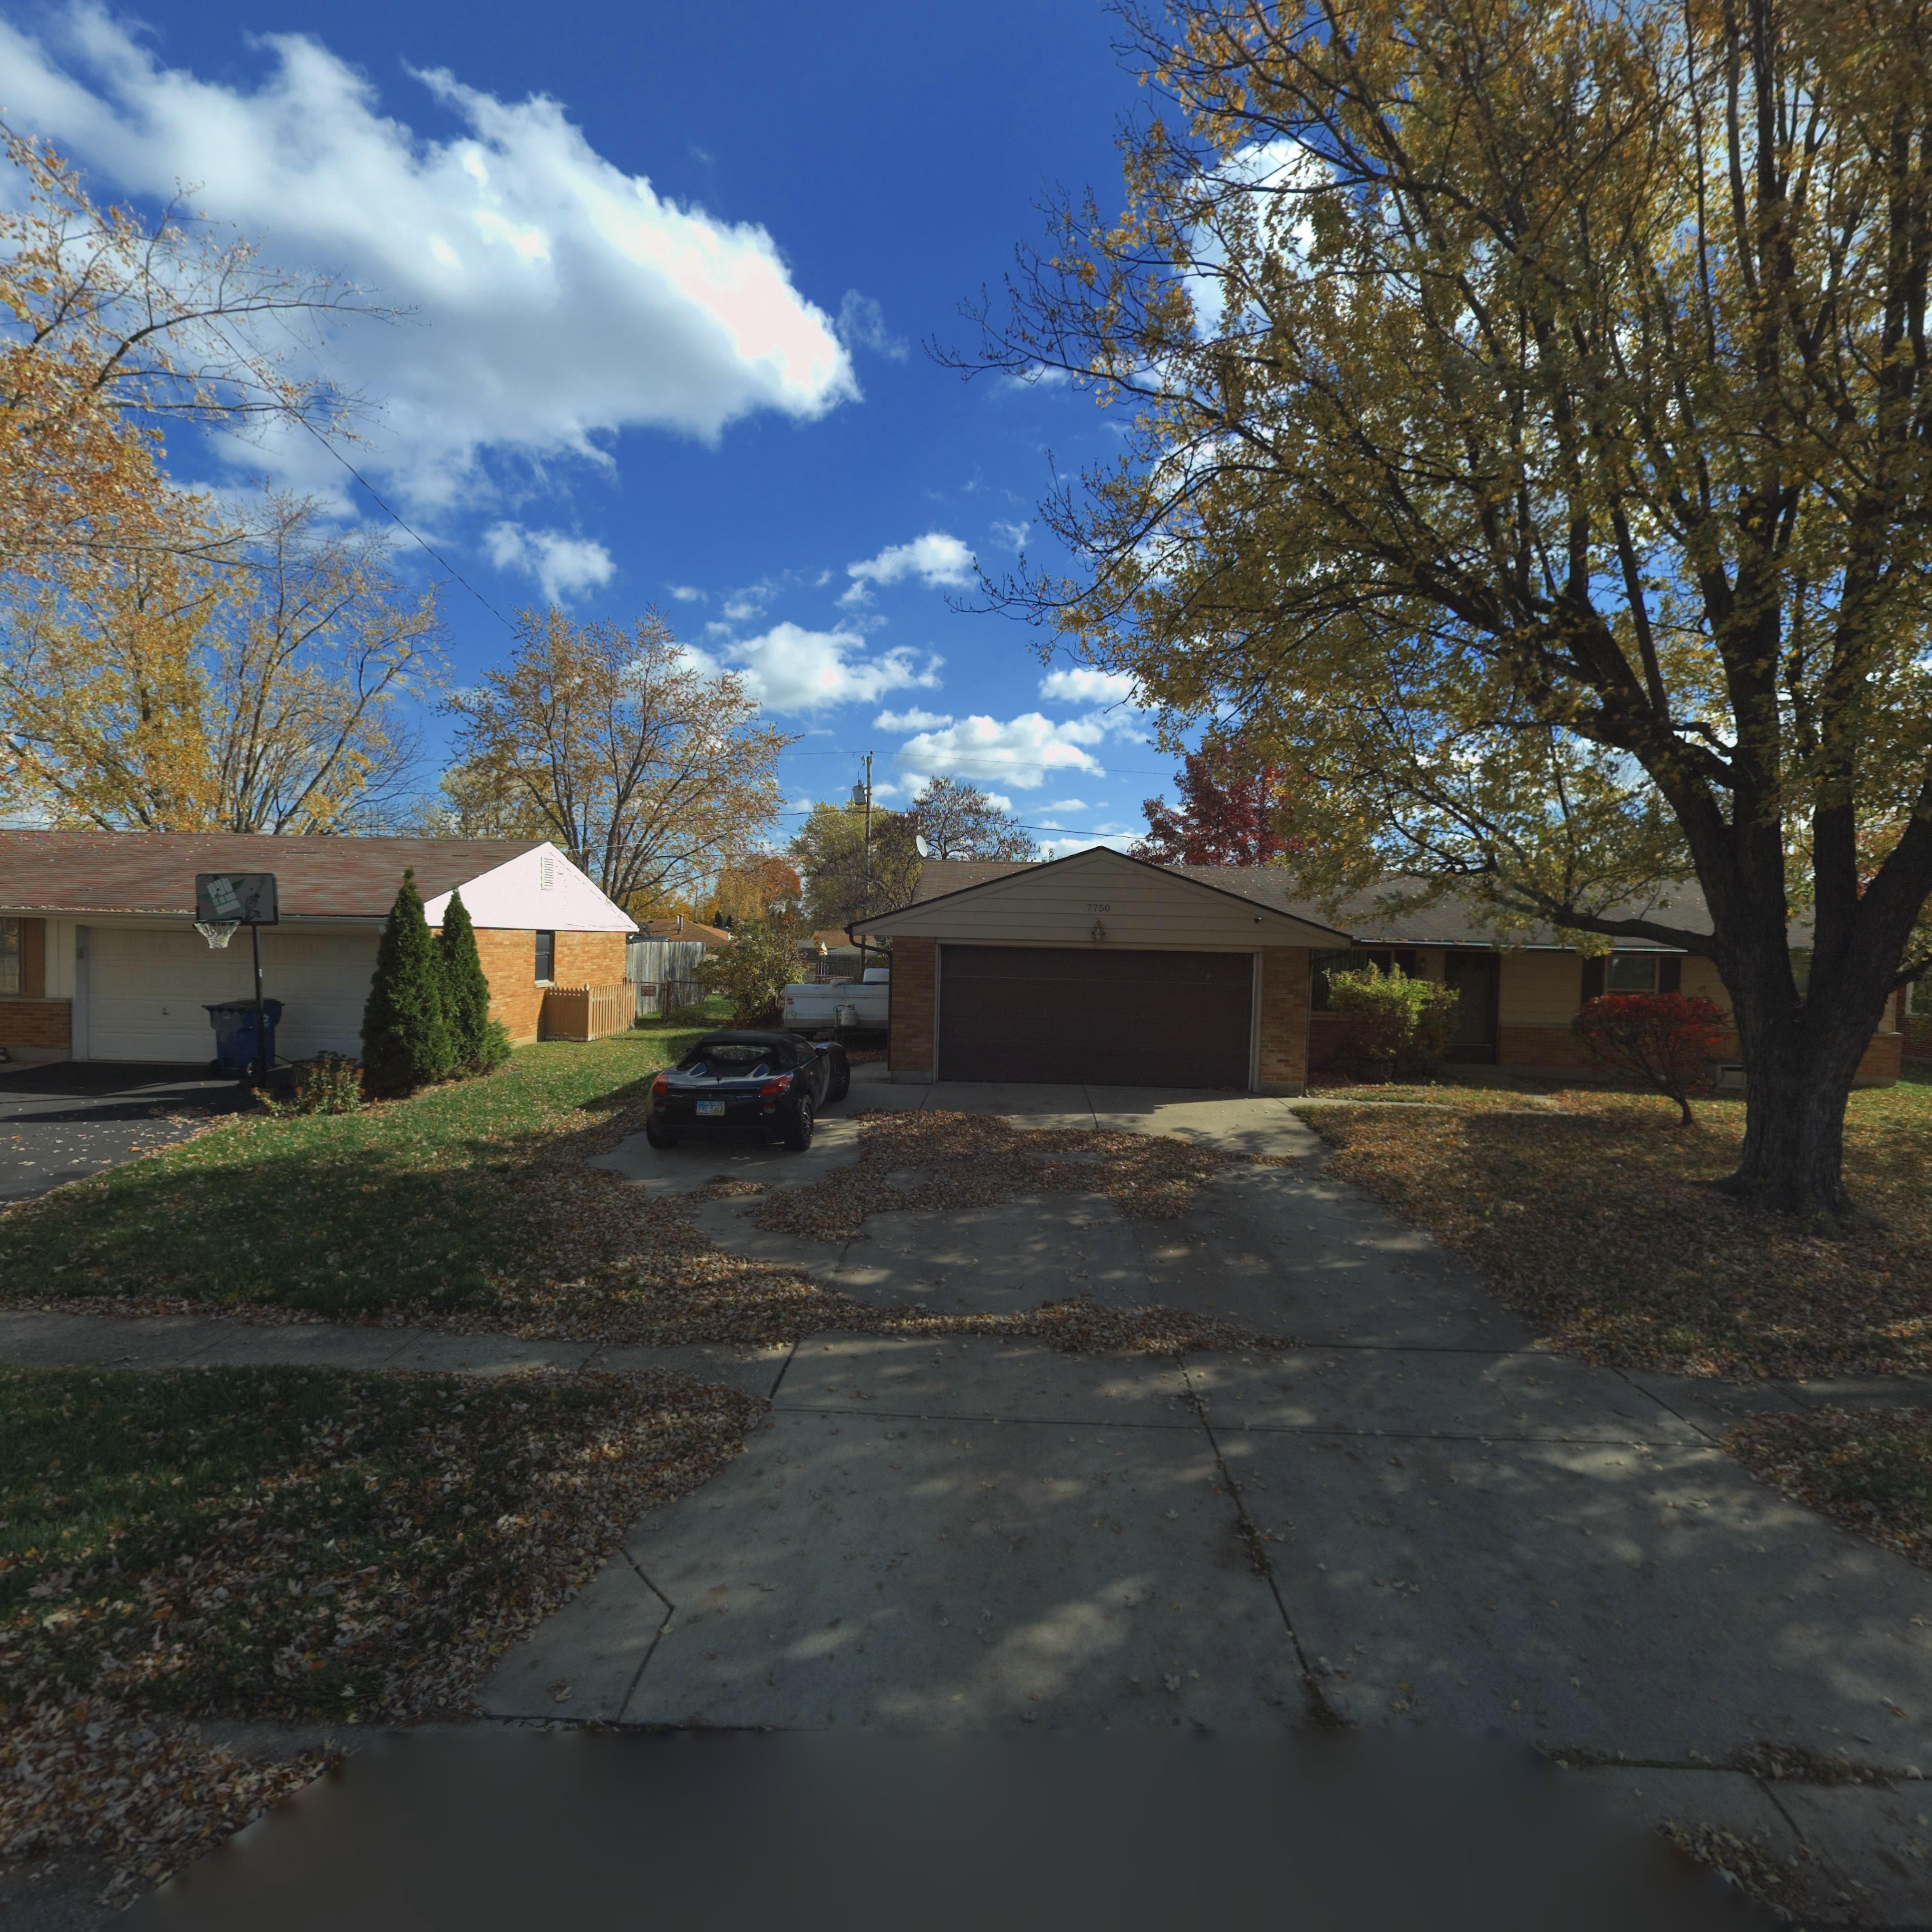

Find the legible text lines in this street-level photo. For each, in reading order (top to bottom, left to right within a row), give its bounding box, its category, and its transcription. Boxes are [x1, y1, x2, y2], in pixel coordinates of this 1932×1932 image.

[1086, 903, 1111, 912] StreetNumber: 7750